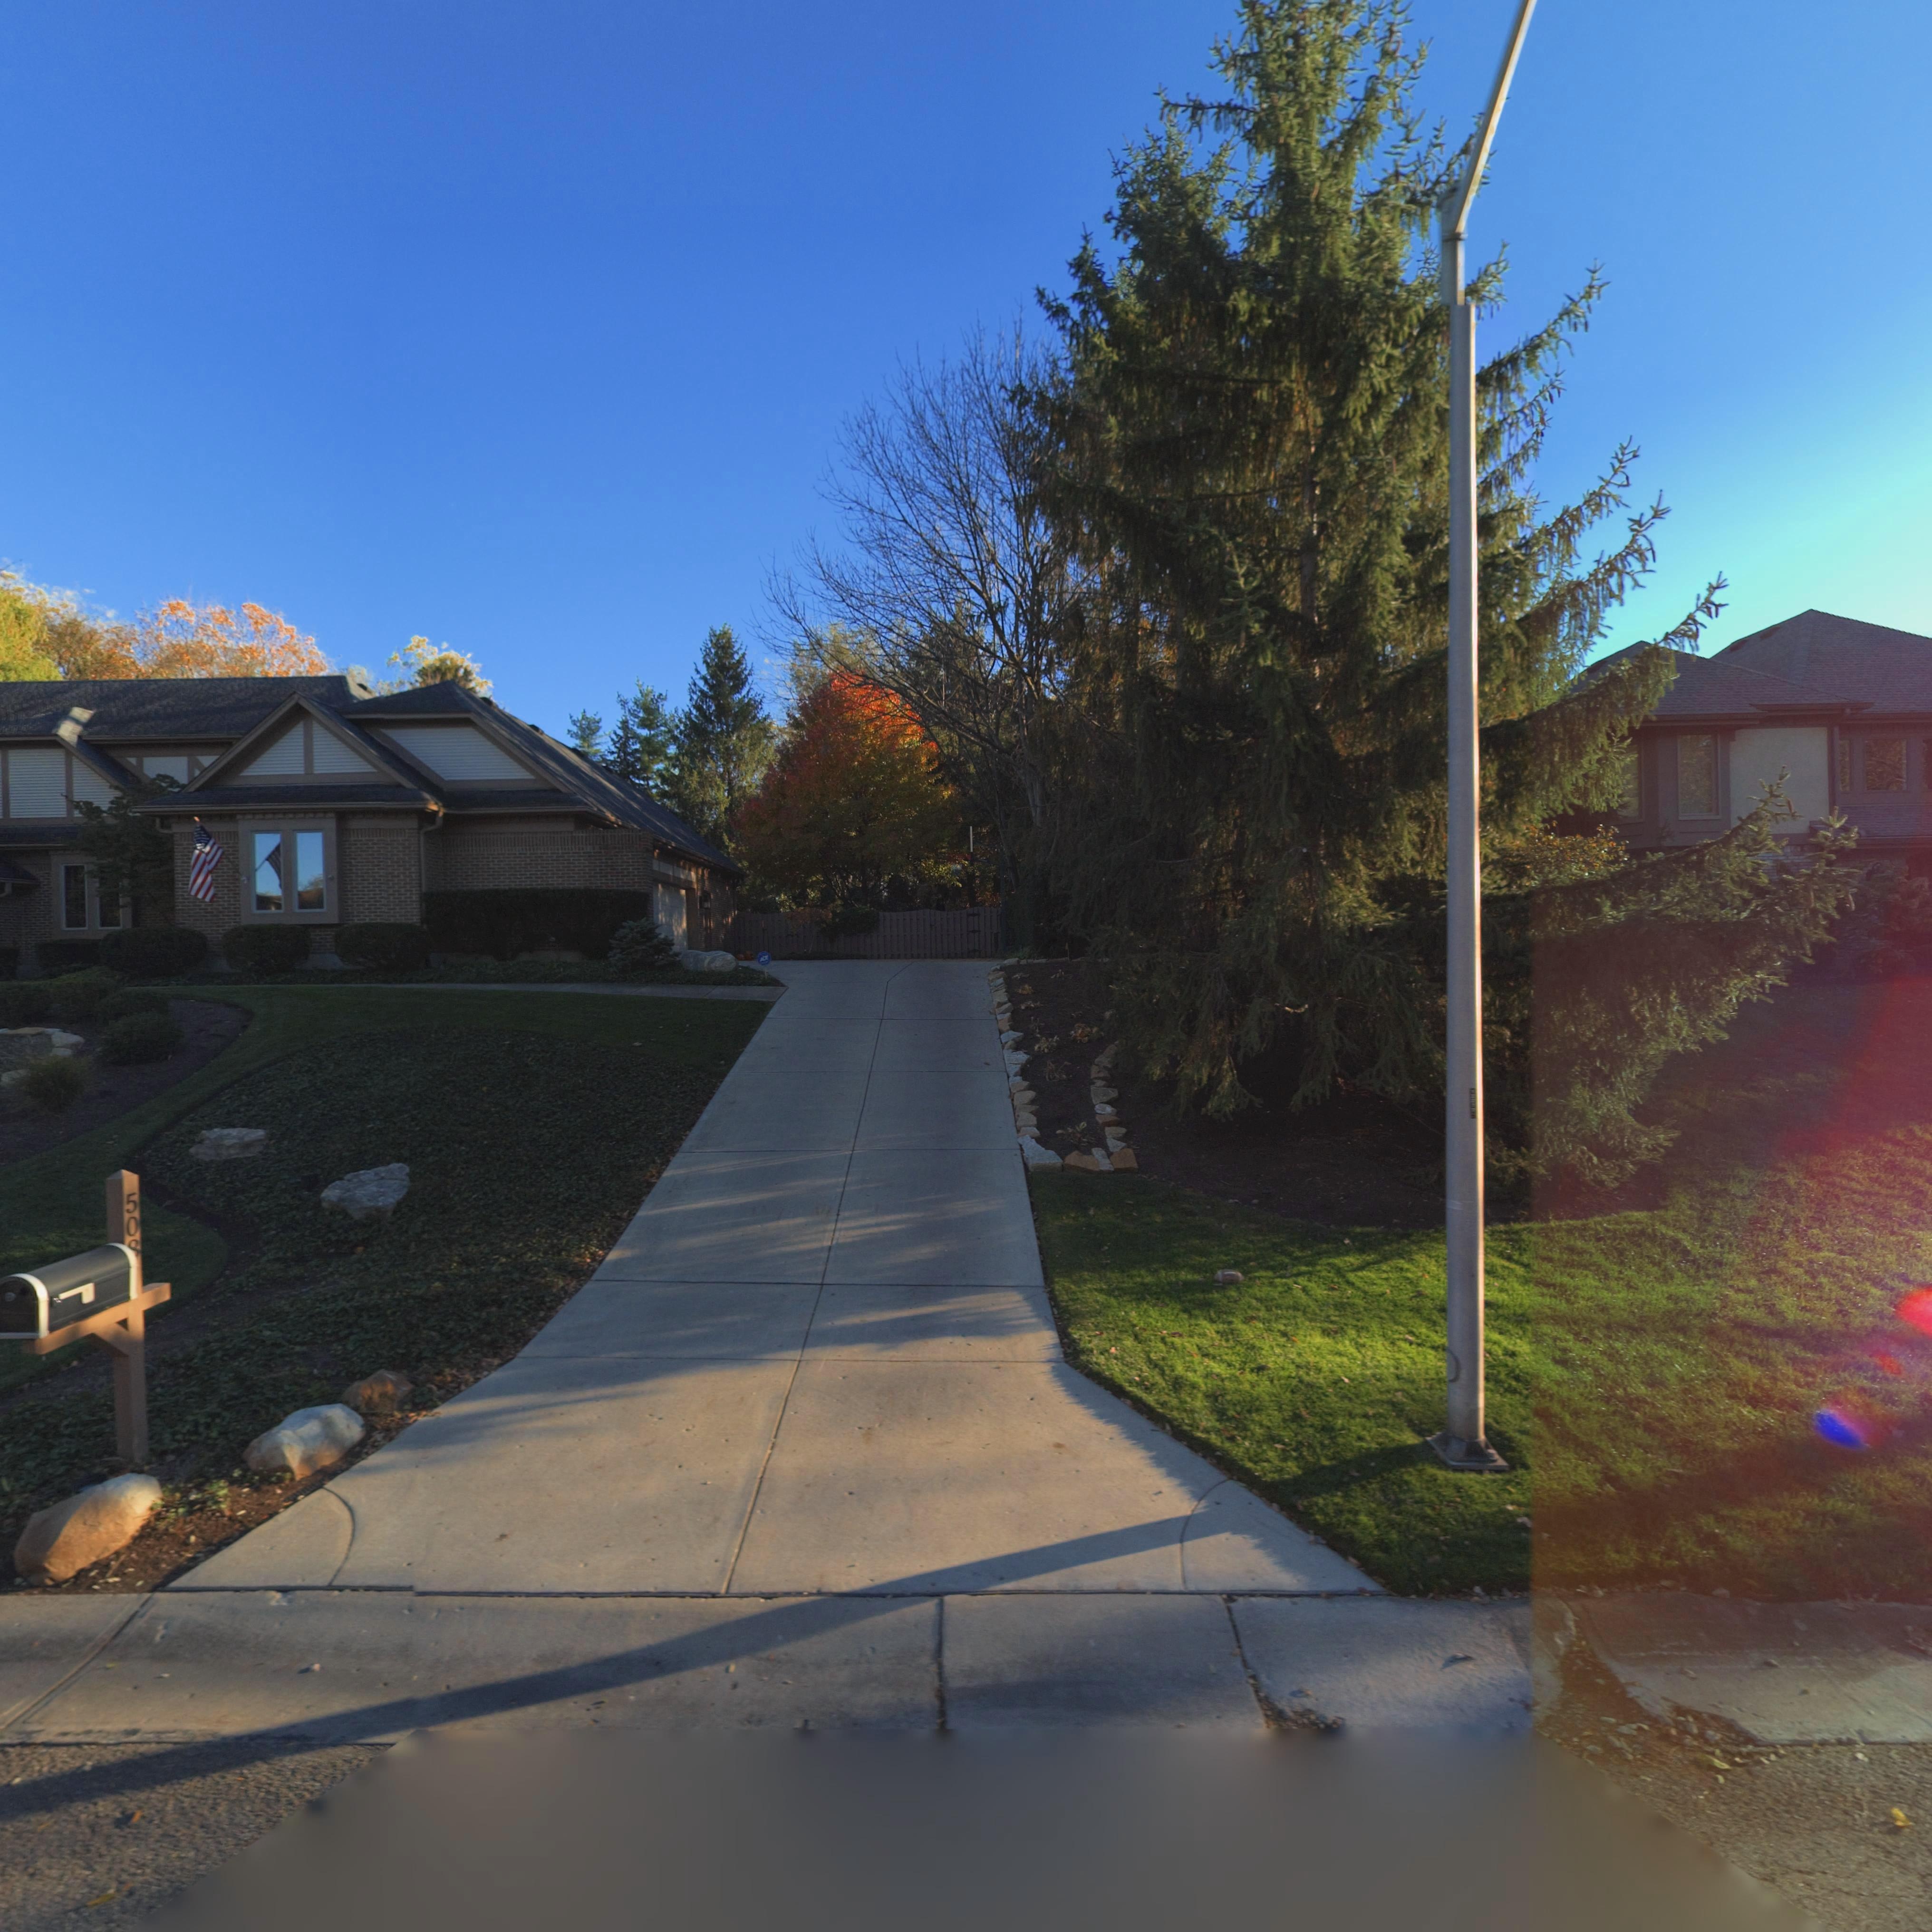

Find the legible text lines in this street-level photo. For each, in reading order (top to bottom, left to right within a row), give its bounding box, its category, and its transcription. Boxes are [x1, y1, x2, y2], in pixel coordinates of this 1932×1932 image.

[123, 1190, 142, 1259] StreetNumber: 50*